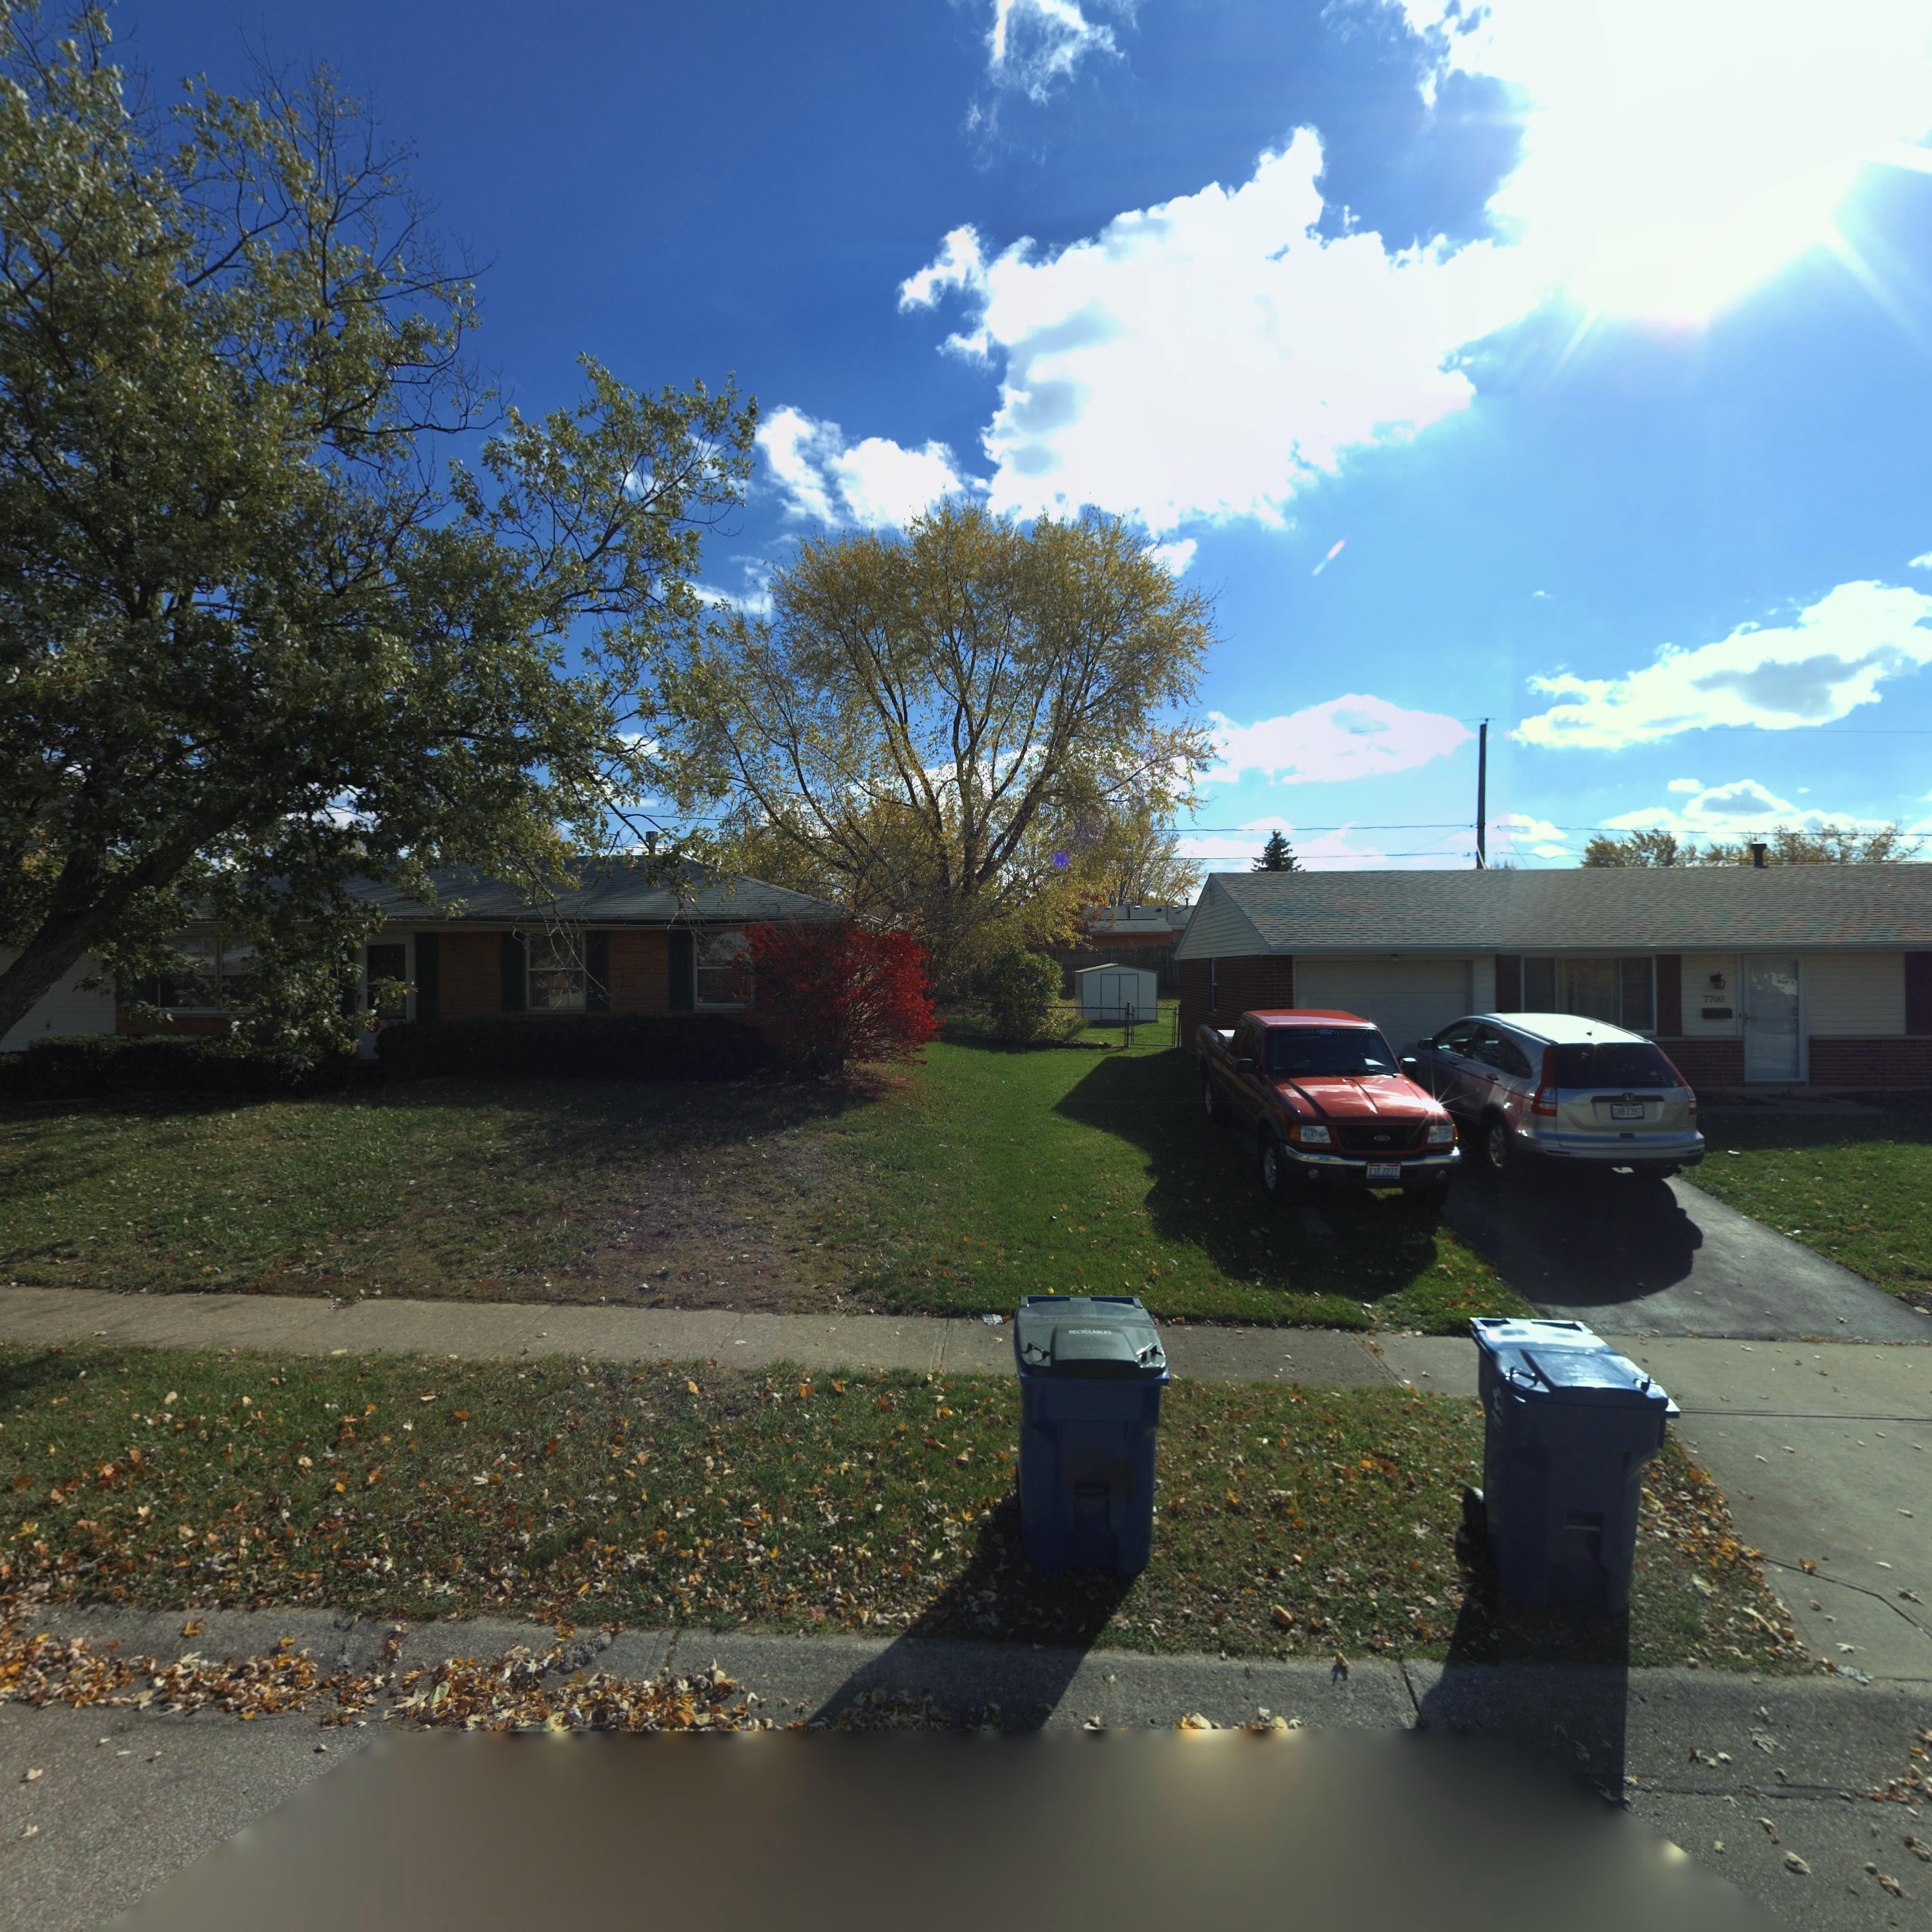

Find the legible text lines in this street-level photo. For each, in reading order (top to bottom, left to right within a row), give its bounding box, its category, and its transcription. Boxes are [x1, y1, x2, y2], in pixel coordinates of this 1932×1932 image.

[1702, 995, 1725, 1003] StreetNumber: 7700